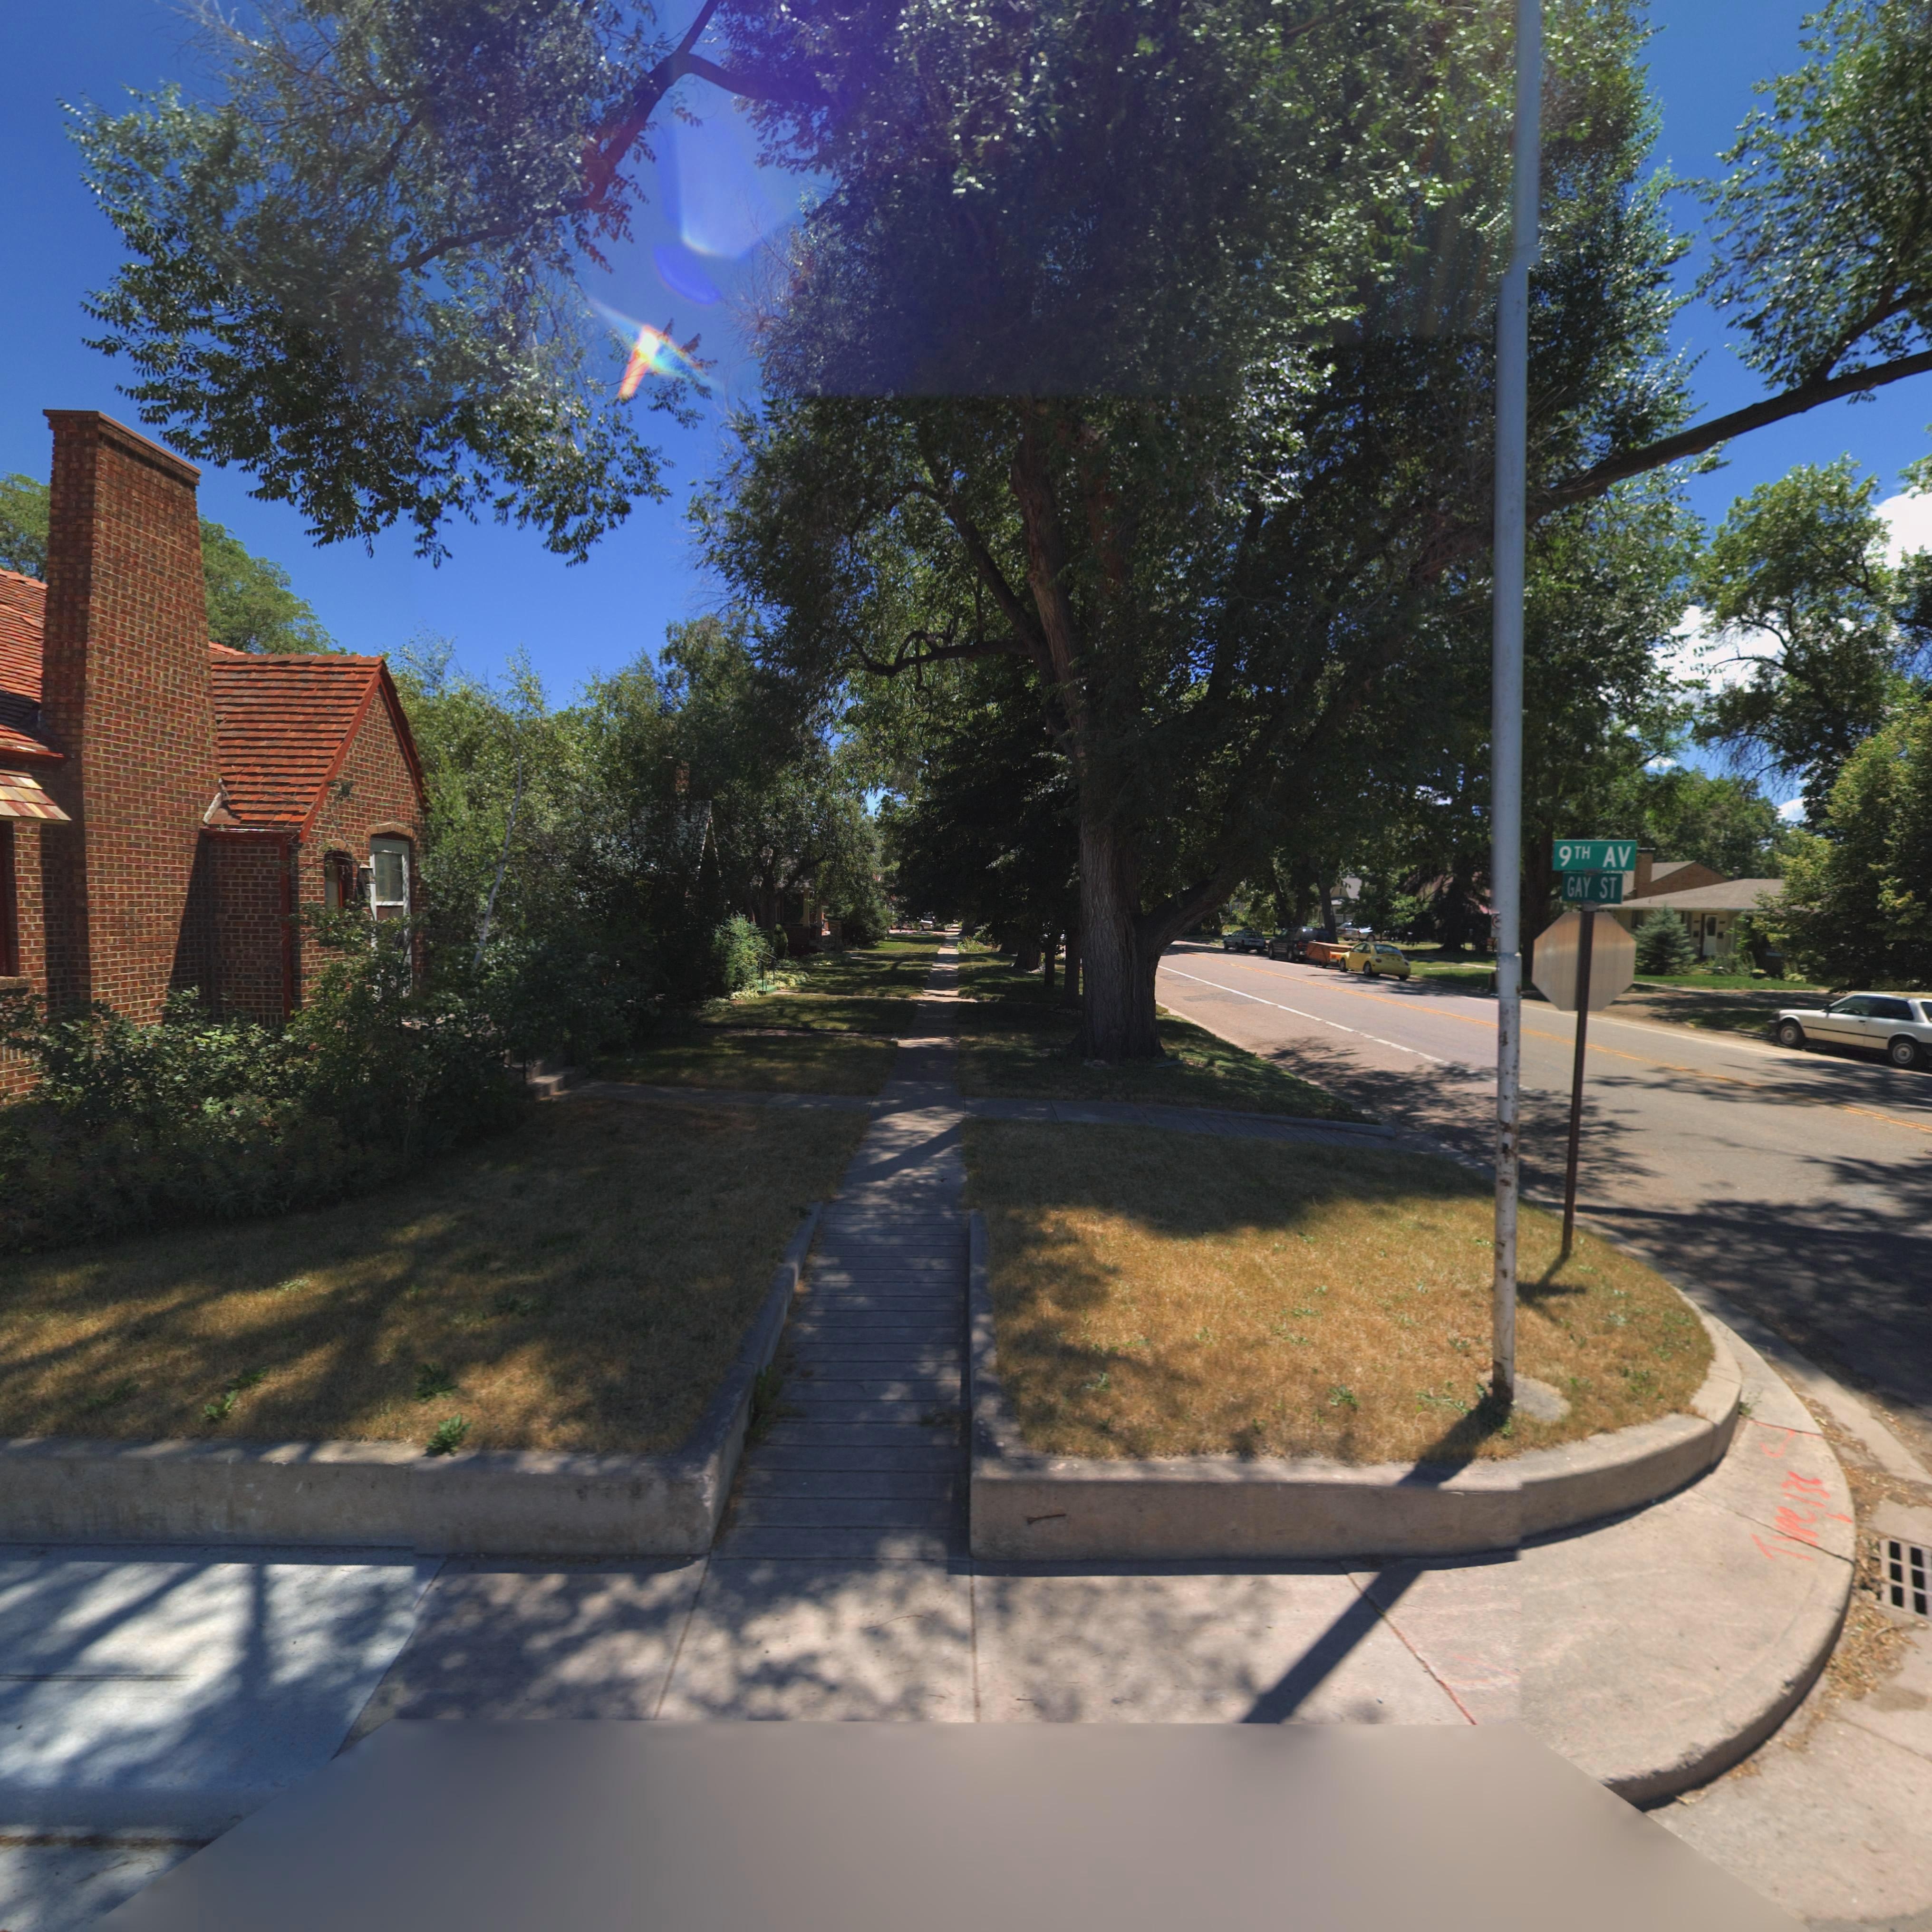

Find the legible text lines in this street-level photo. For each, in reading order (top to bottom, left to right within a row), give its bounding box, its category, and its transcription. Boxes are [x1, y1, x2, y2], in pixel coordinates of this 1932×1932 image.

[1558, 845, 1632, 868] StreetName: 9TH AV
[1566, 876, 1618, 900] StreetName: GAY ST